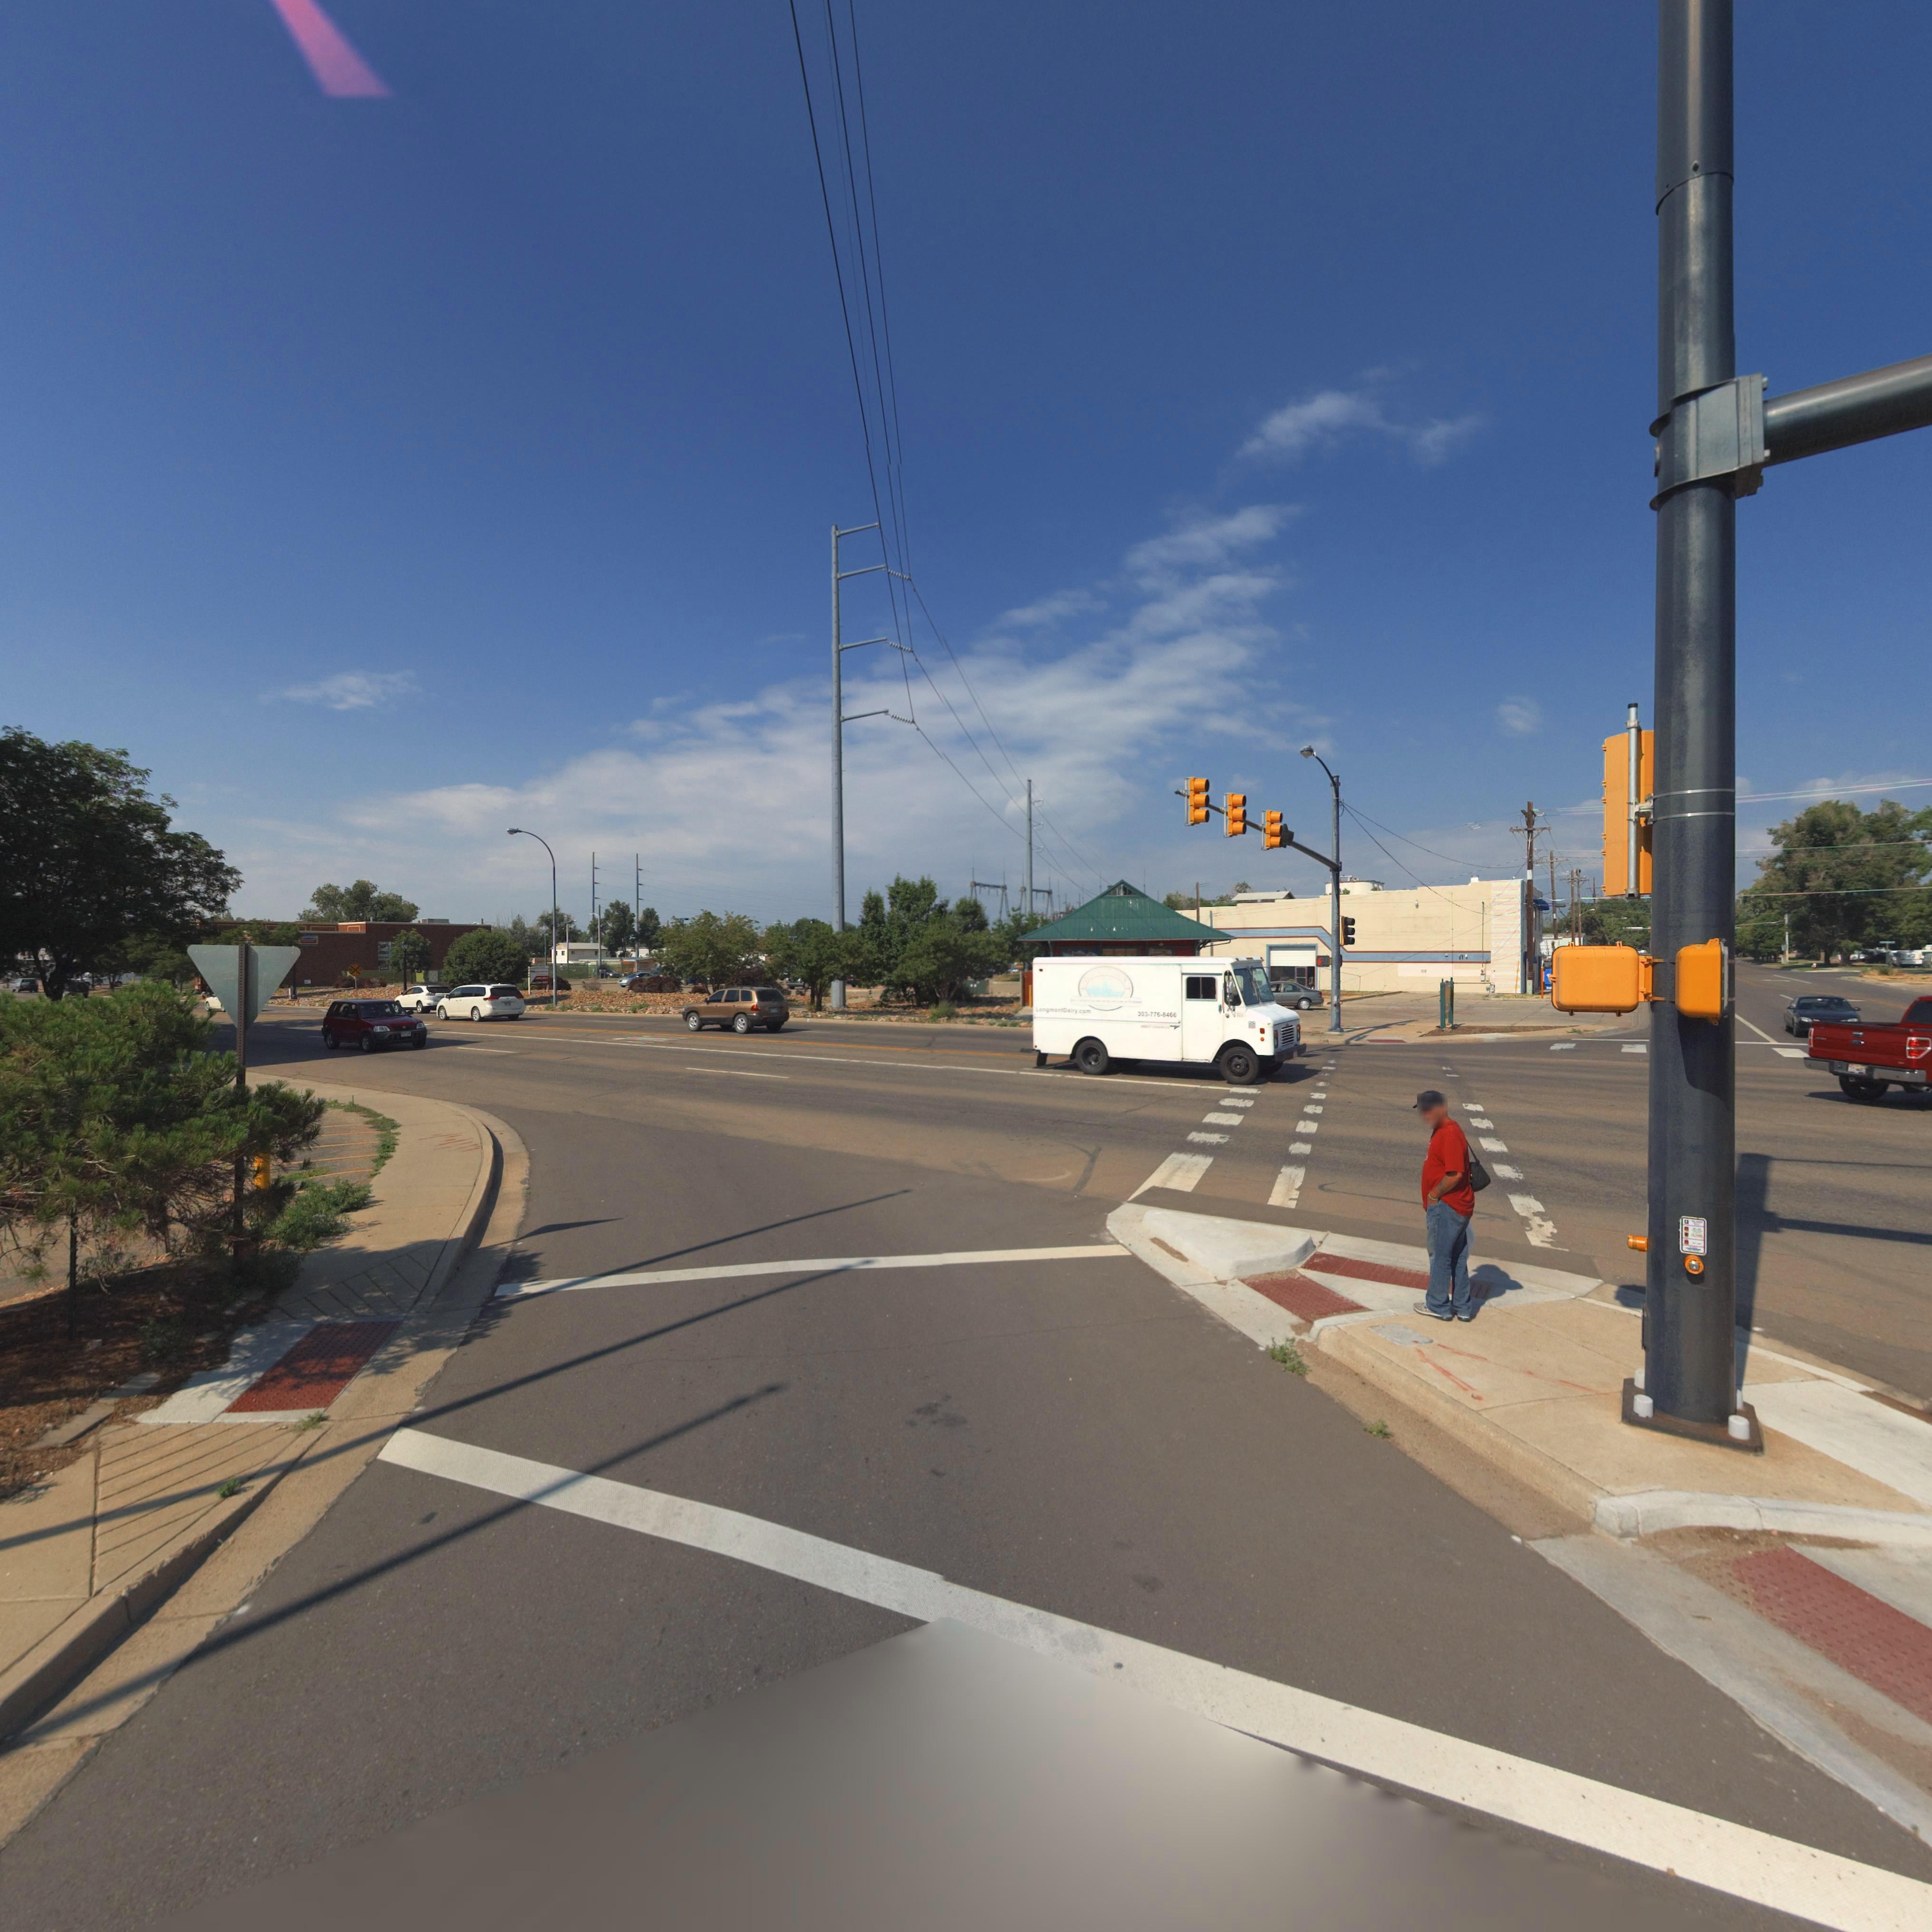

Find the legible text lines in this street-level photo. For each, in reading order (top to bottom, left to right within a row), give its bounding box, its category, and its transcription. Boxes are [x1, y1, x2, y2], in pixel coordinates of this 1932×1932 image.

[1537, 946, 1548, 951] BusinessName: Sav*
[1537, 950, 1551, 955] BusinessName: Secon